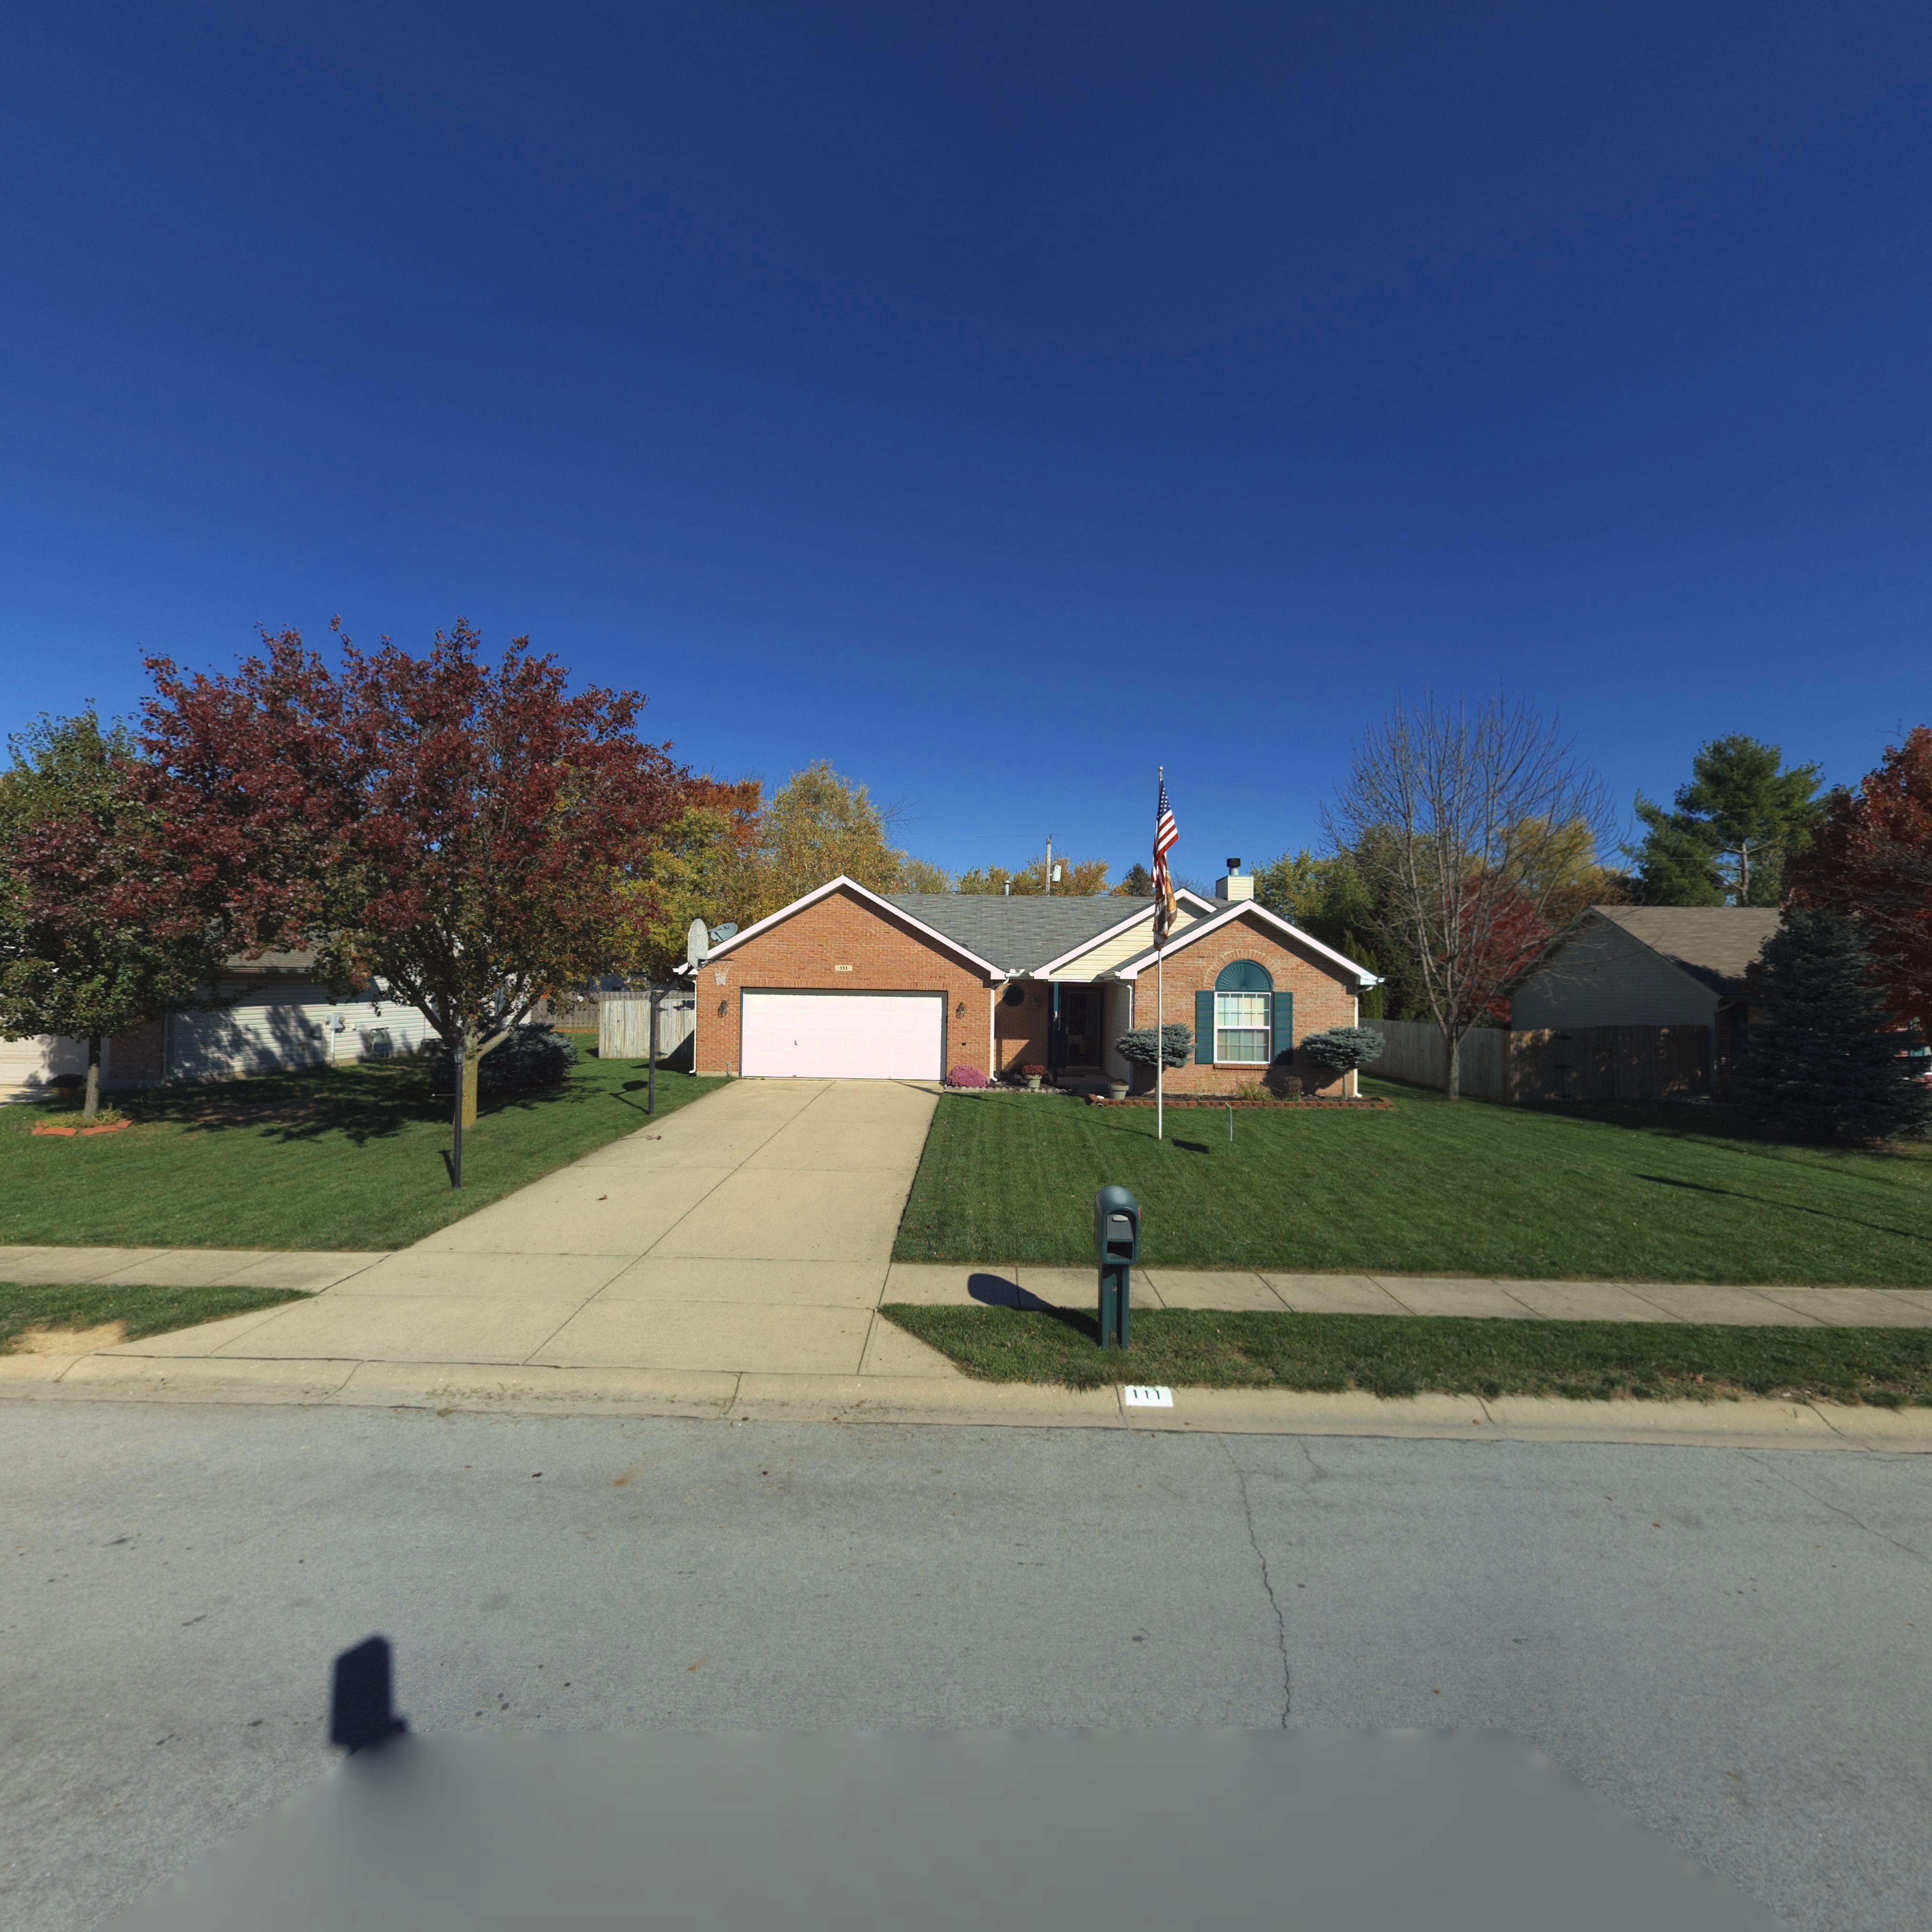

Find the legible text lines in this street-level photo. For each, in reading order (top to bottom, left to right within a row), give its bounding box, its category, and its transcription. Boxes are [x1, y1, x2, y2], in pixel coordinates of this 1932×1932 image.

[840, 966, 848, 970] StreetNumber: 111
[1133, 1389, 1160, 1399] StreetNumber: 111